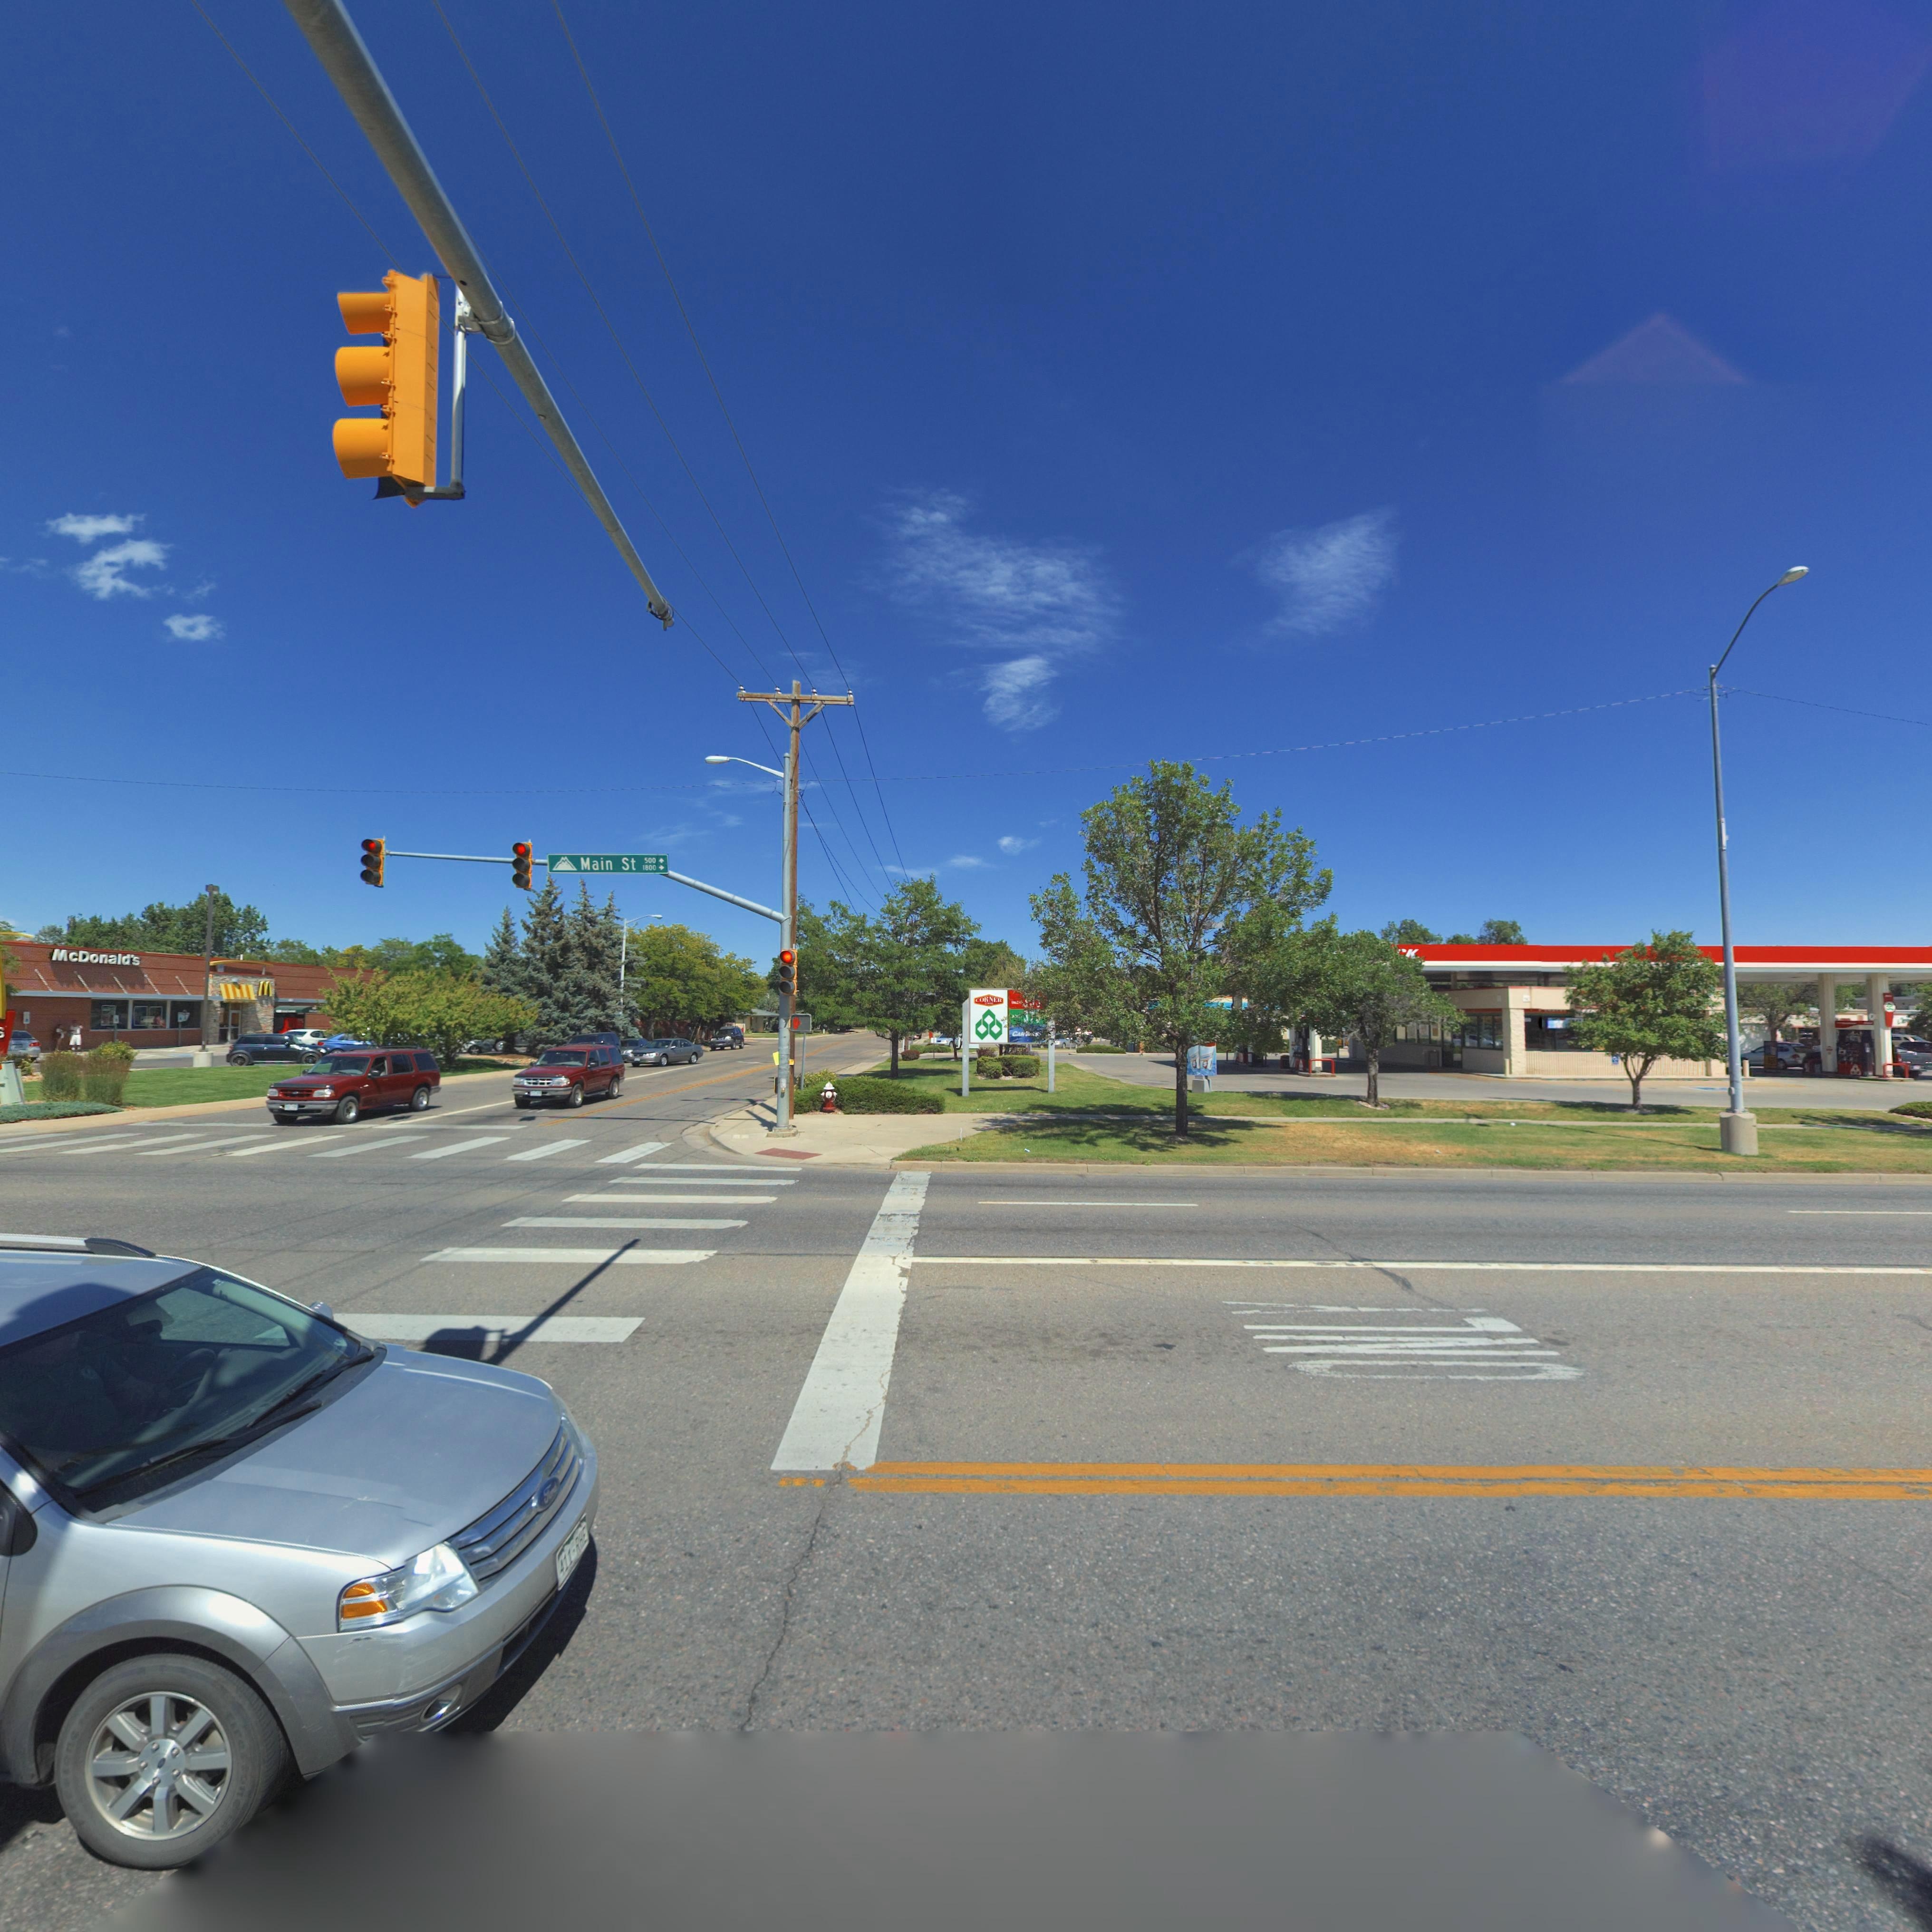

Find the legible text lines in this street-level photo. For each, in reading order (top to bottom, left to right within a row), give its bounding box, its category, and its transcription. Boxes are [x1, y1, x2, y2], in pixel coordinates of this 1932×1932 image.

[579, 856, 637, 871] StreetName: Main St
[644, 857, 656, 863] StreetNumberRange: 500
[642, 864, 665, 871] StreetNumberRange: 1800 ->
[50, 948, 141, 967] BusinessName: McDonald's
[1403, 948, 1420, 960] BusinessName: K
[976, 996, 1003, 1003] BusinessName: CORNER